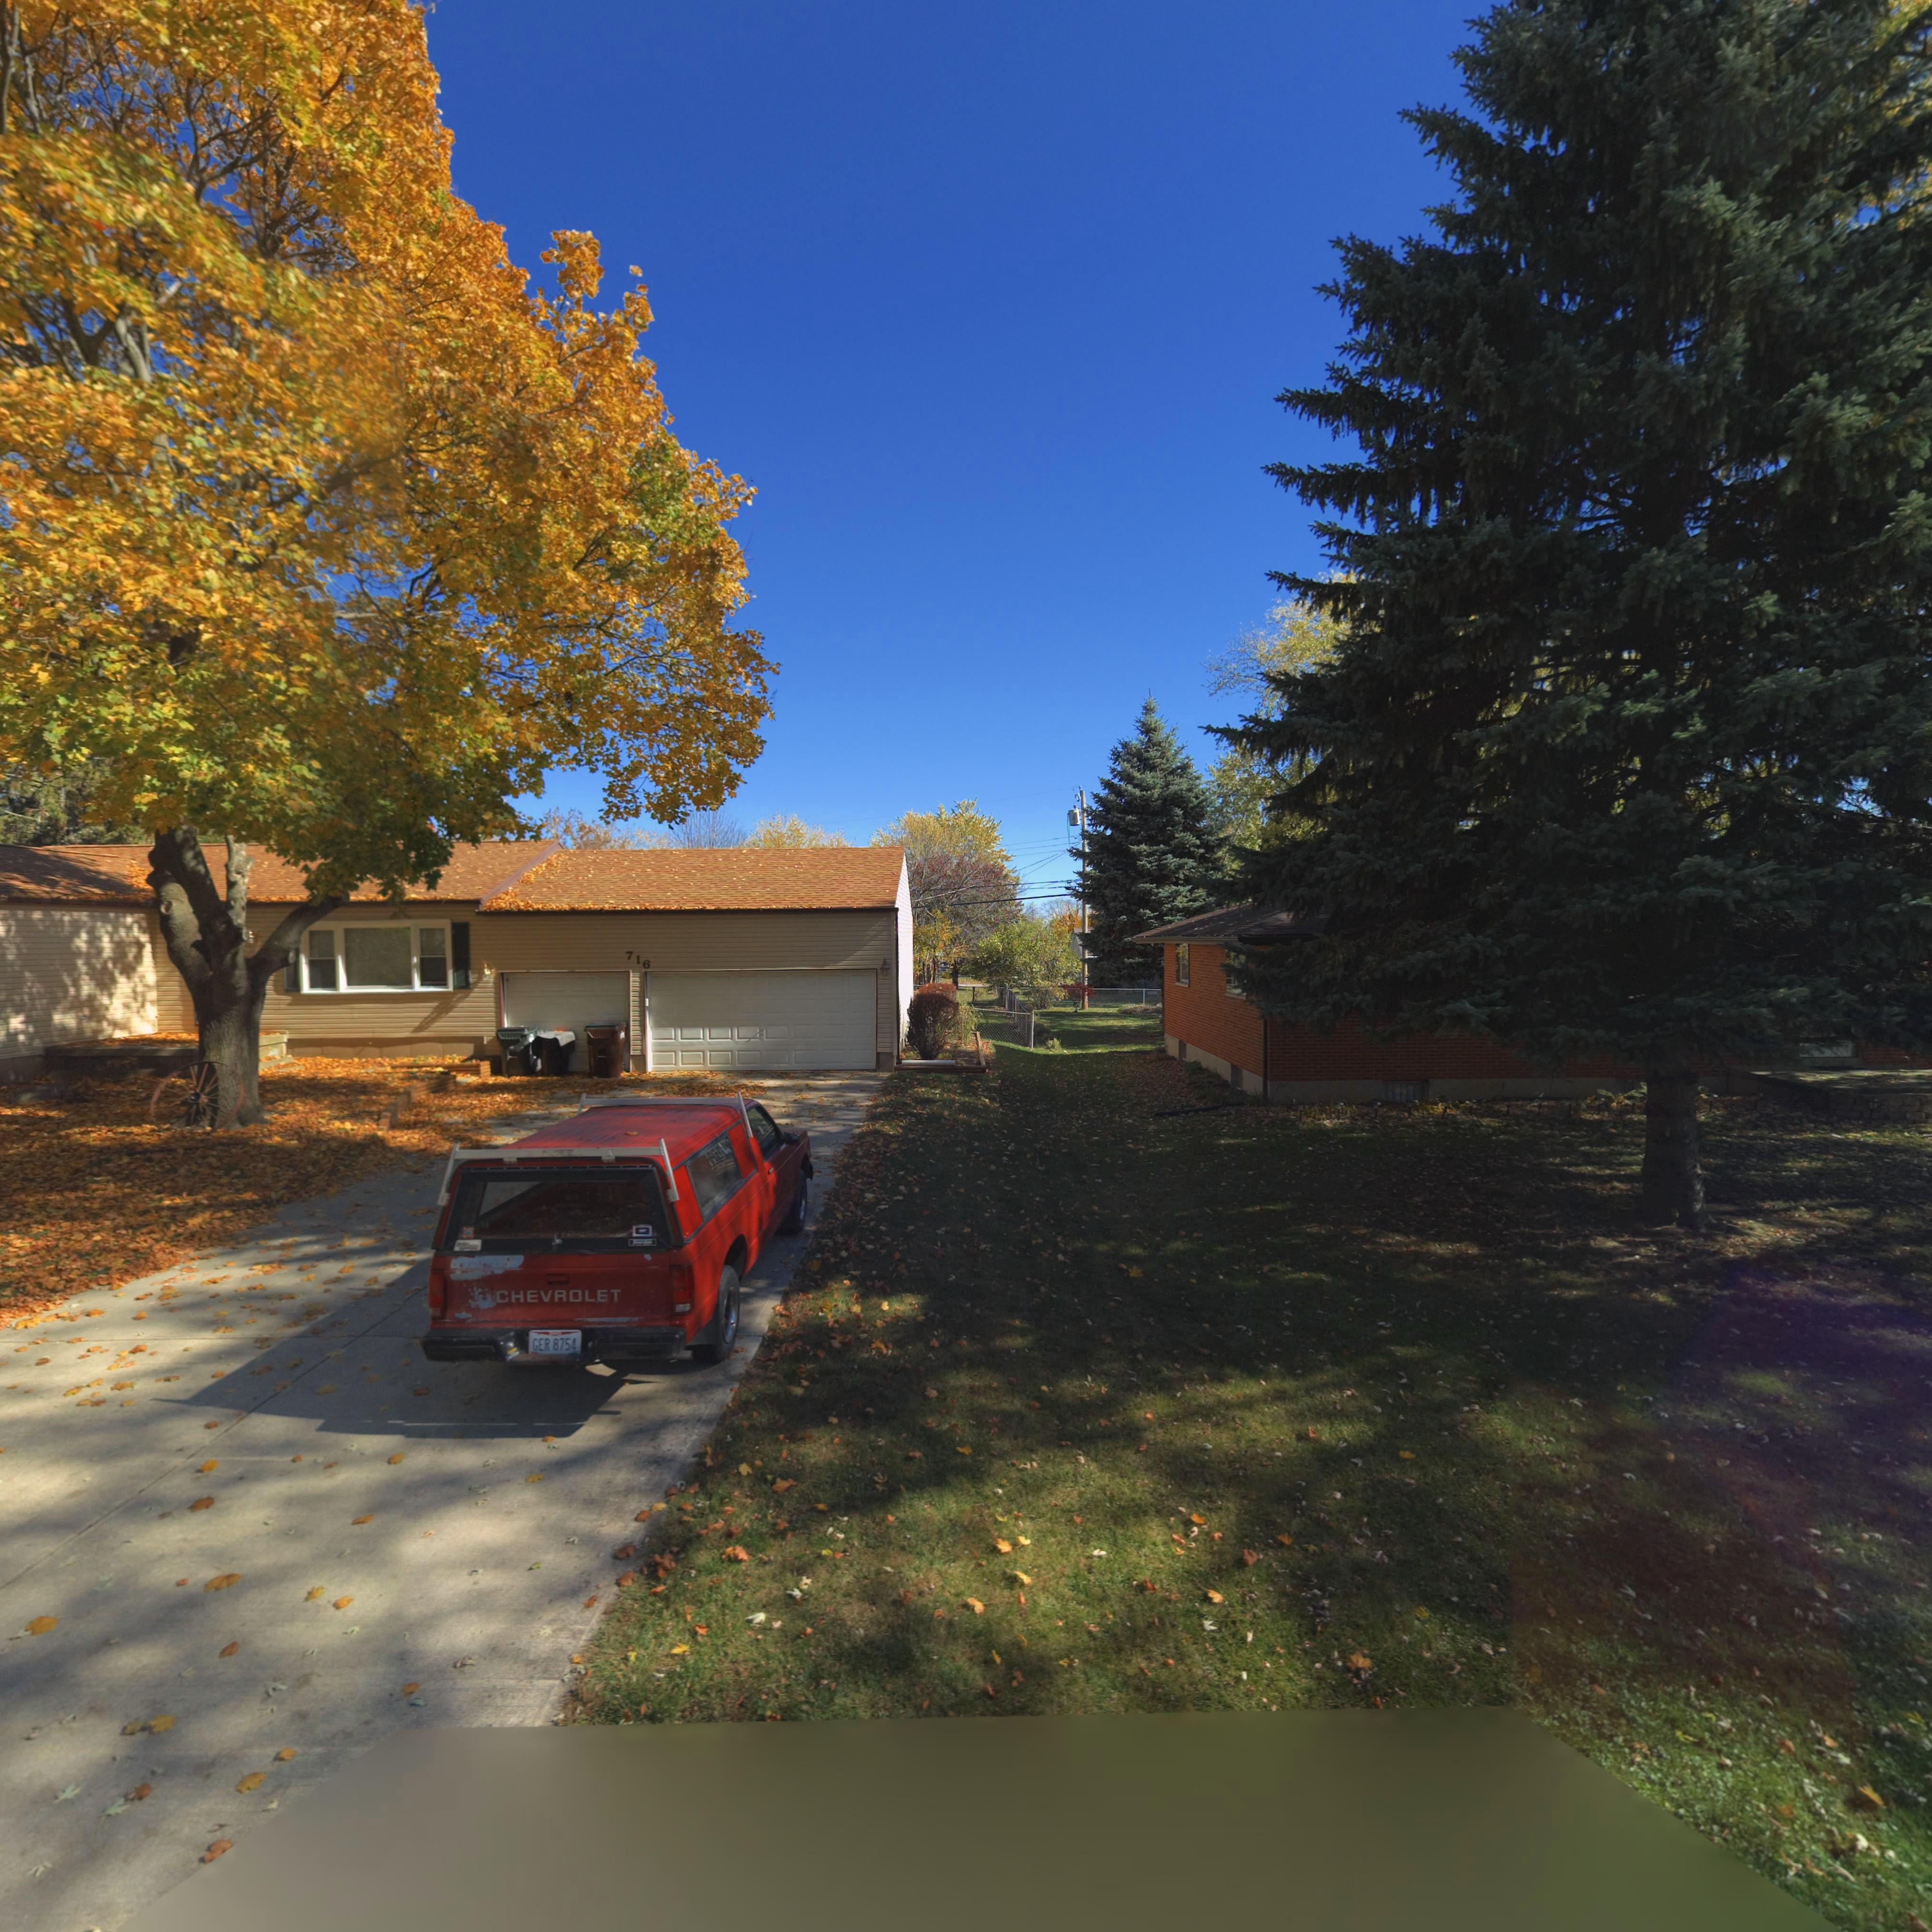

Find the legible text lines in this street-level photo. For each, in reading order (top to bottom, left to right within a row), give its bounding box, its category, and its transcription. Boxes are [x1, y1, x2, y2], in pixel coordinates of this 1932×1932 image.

[625, 950, 651, 969] StreetNumber: 716